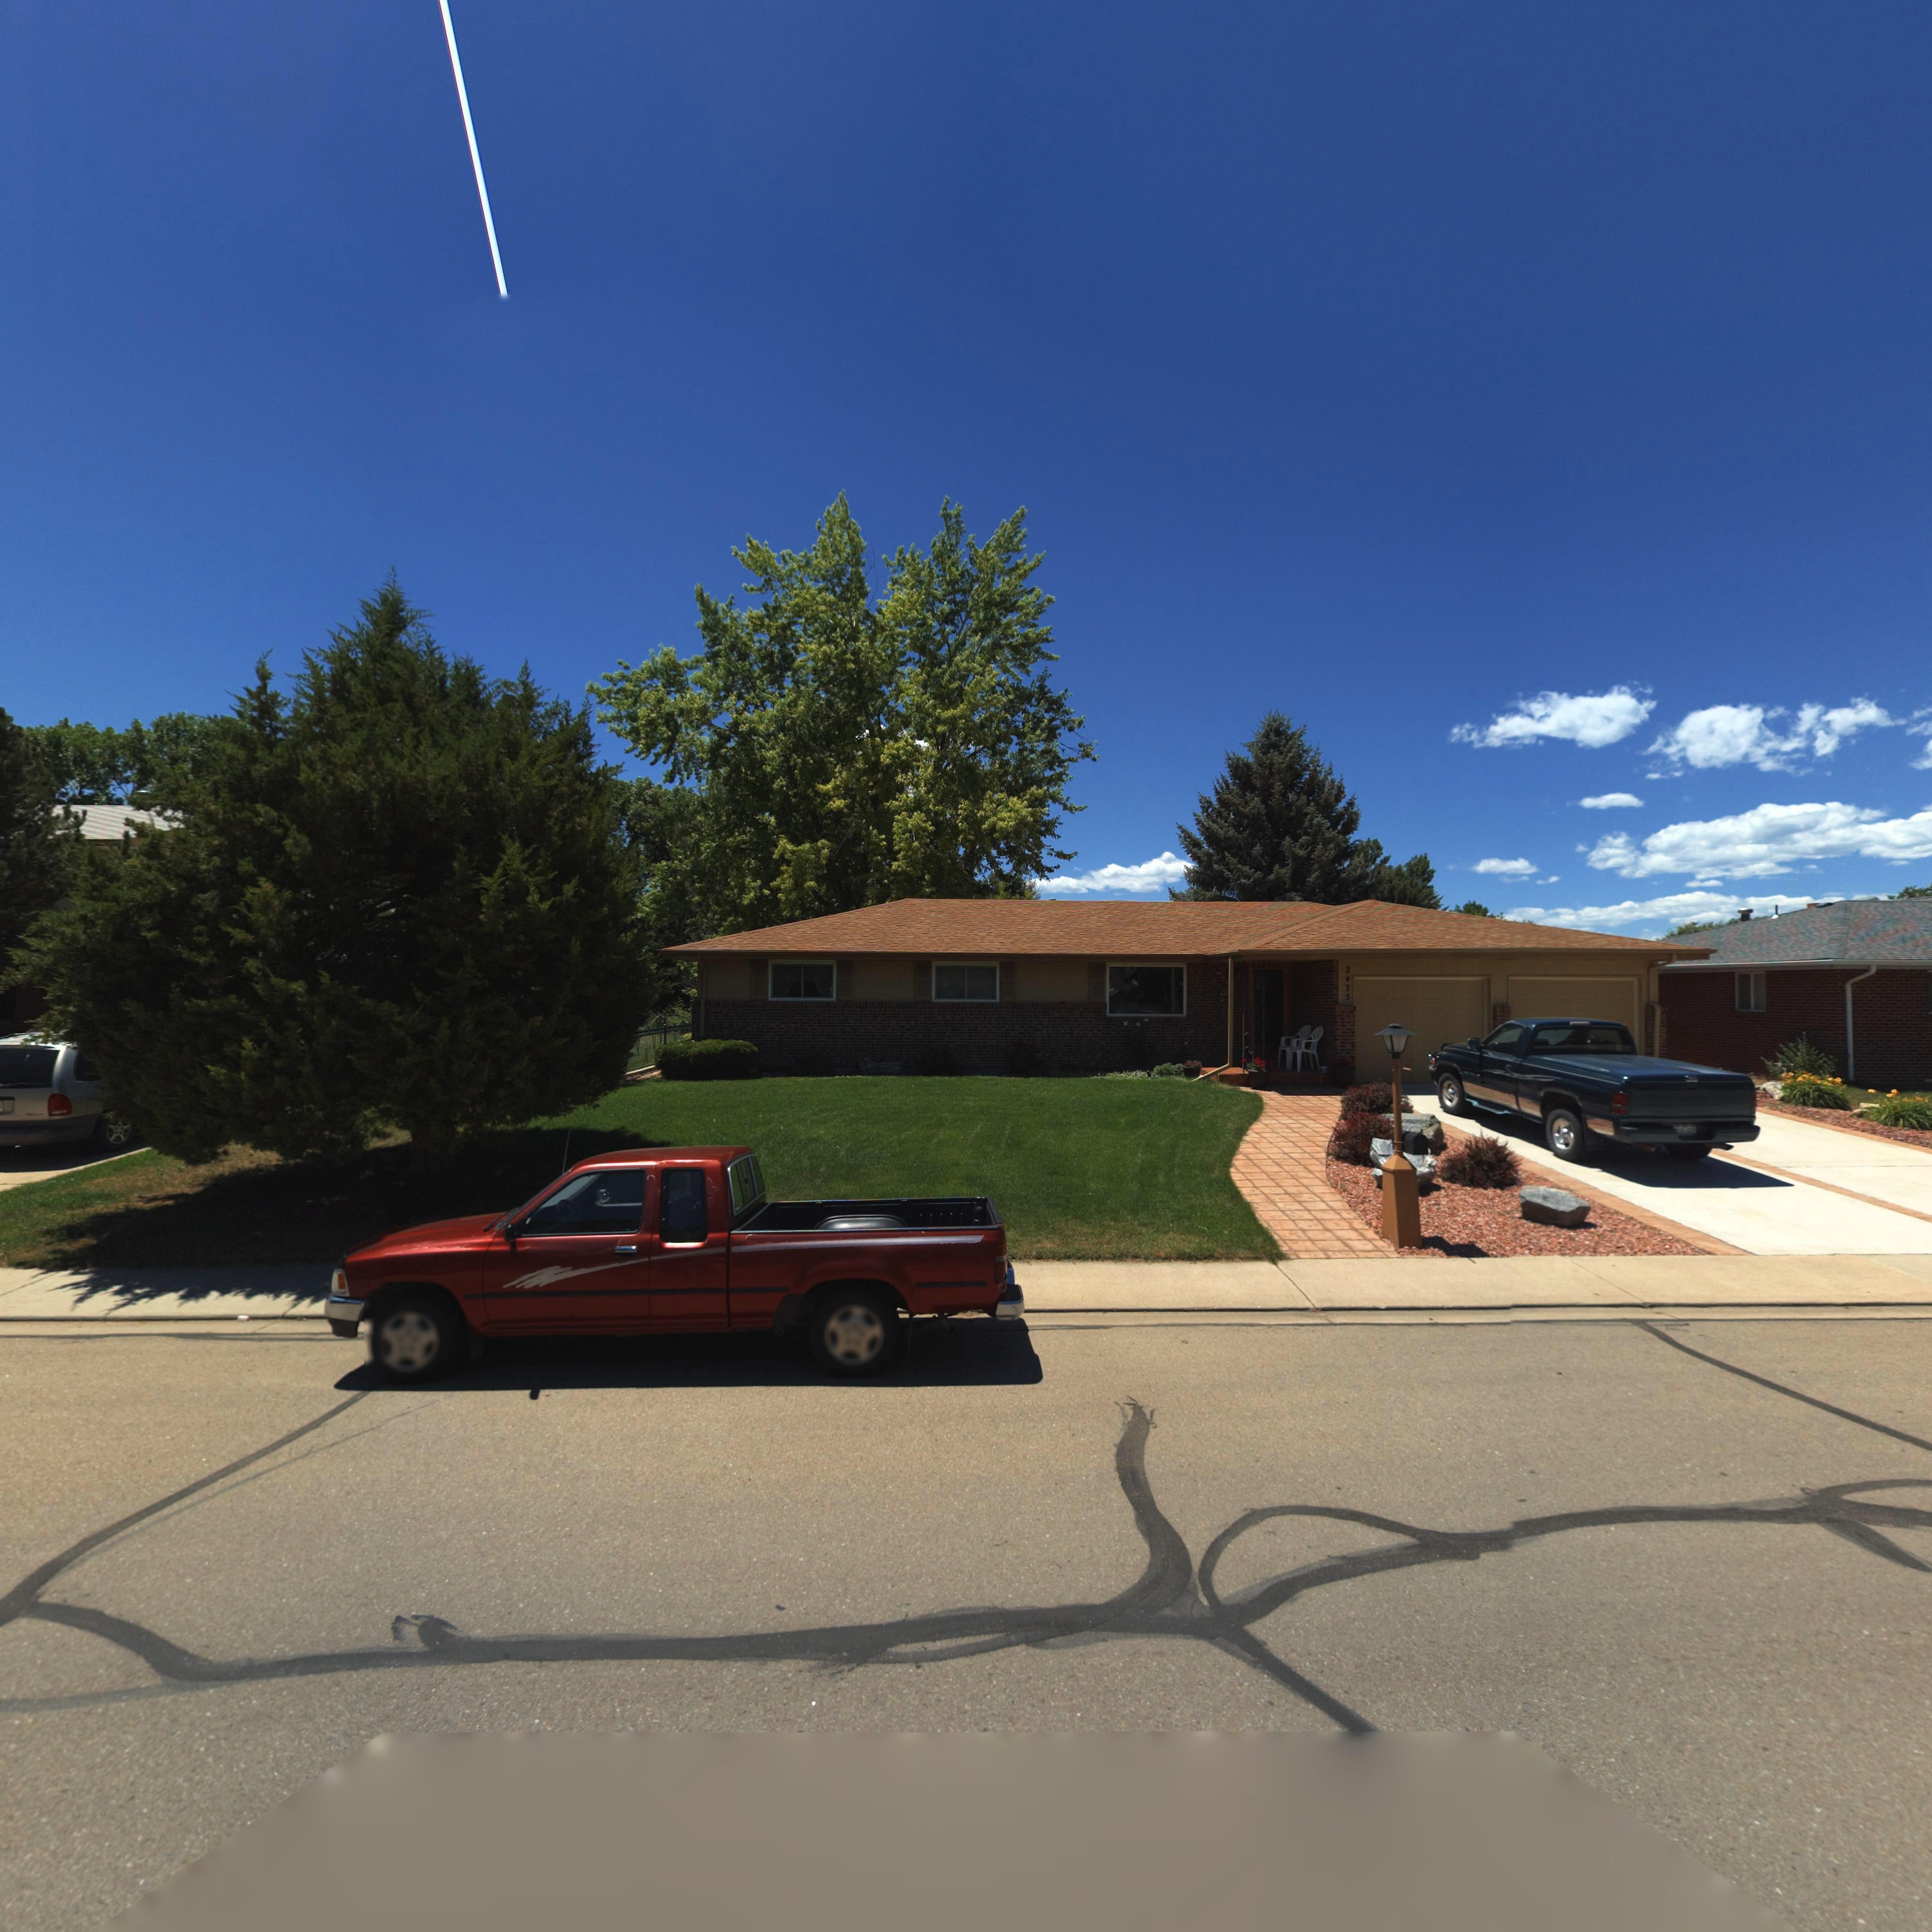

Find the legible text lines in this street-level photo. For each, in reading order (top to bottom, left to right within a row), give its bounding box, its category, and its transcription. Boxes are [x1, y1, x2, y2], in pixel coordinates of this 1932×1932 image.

[1343, 965, 1351, 1001] StreetNumber: 2435